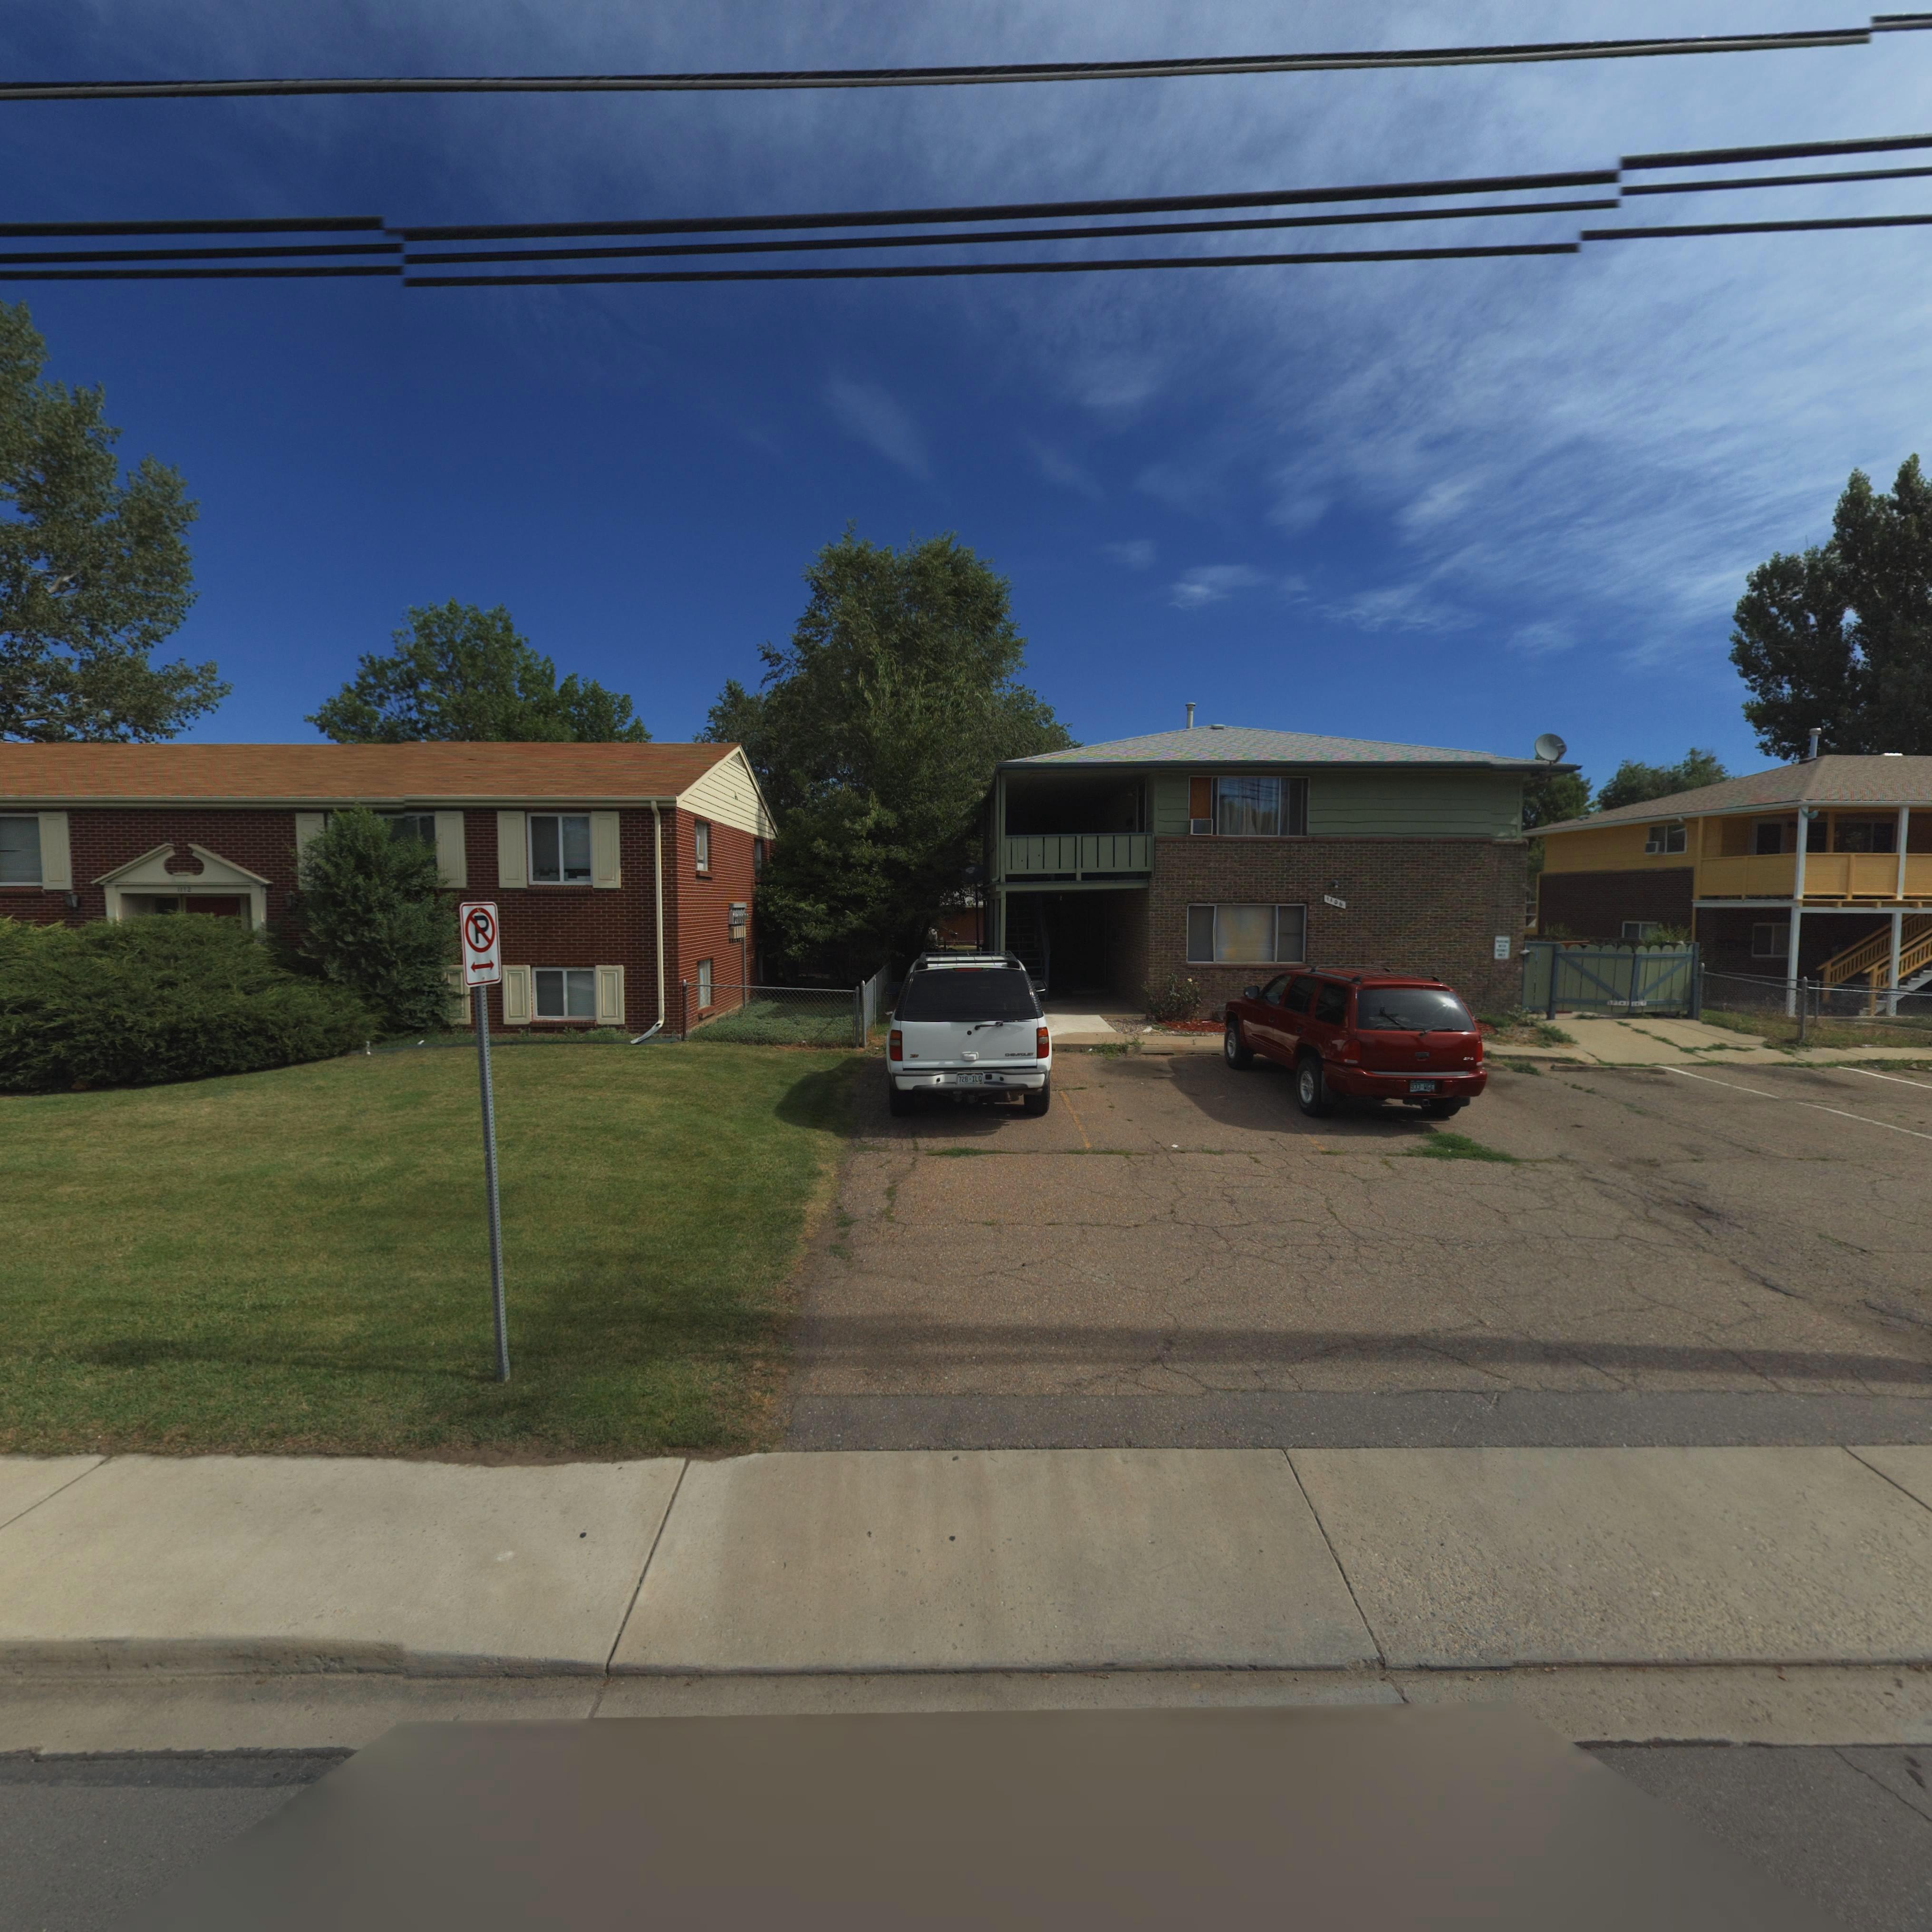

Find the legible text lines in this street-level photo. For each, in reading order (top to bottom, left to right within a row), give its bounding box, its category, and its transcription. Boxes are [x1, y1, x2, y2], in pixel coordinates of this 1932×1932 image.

[176, 886, 192, 892] StreetNumber: 1112
[1326, 896, 1343, 907] StreetNumber: 1*06
[1607, 999, 1628, 1006] SecondaryUnitDesignator: *PT * 1